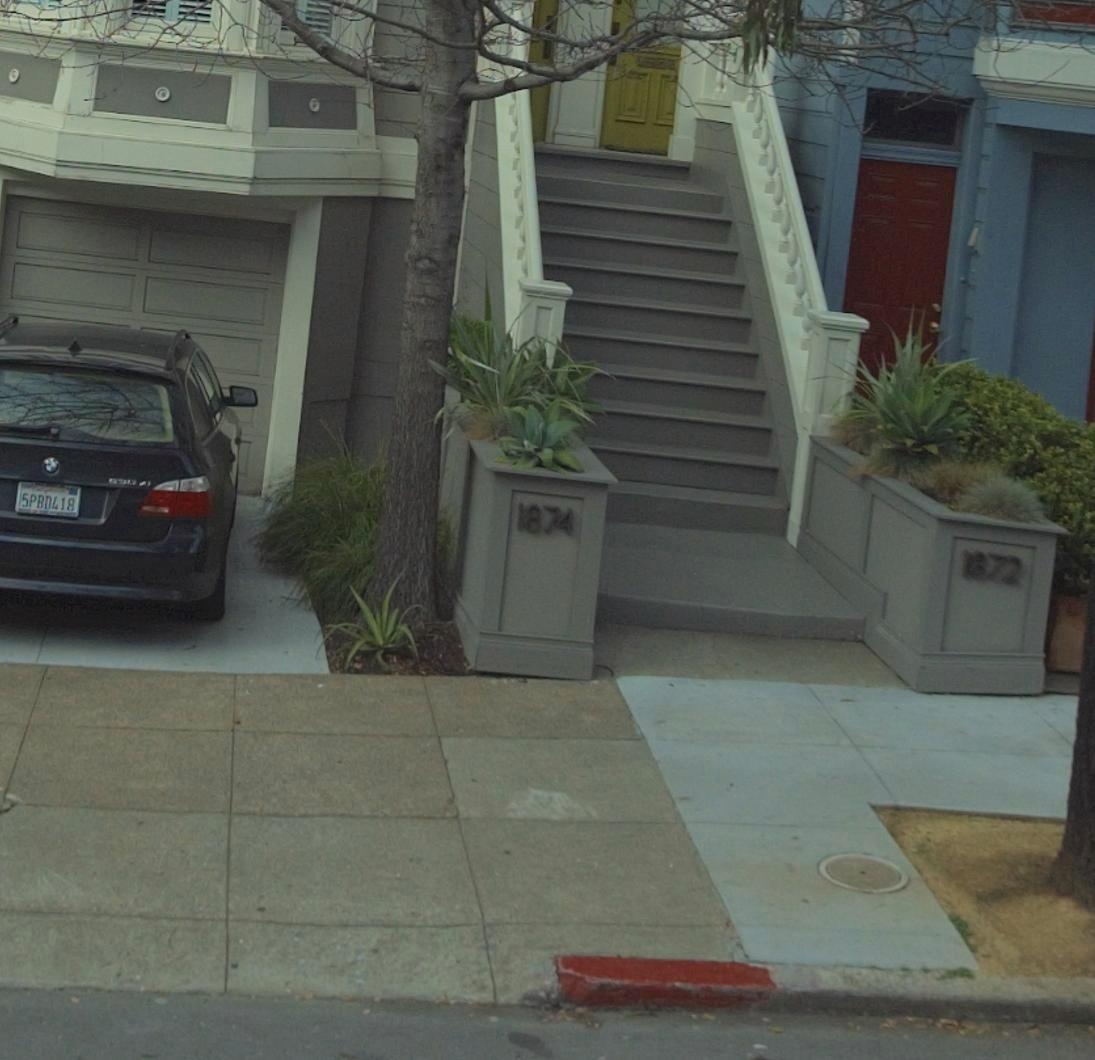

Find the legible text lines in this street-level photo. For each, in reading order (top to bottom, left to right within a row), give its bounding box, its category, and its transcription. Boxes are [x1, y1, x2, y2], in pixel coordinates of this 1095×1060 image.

[19, 490, 79, 514] None: 5PBD418
[512, 499, 579, 542] StreetNumber: 1874
[956, 544, 1030, 593] StreetNumber: 1872